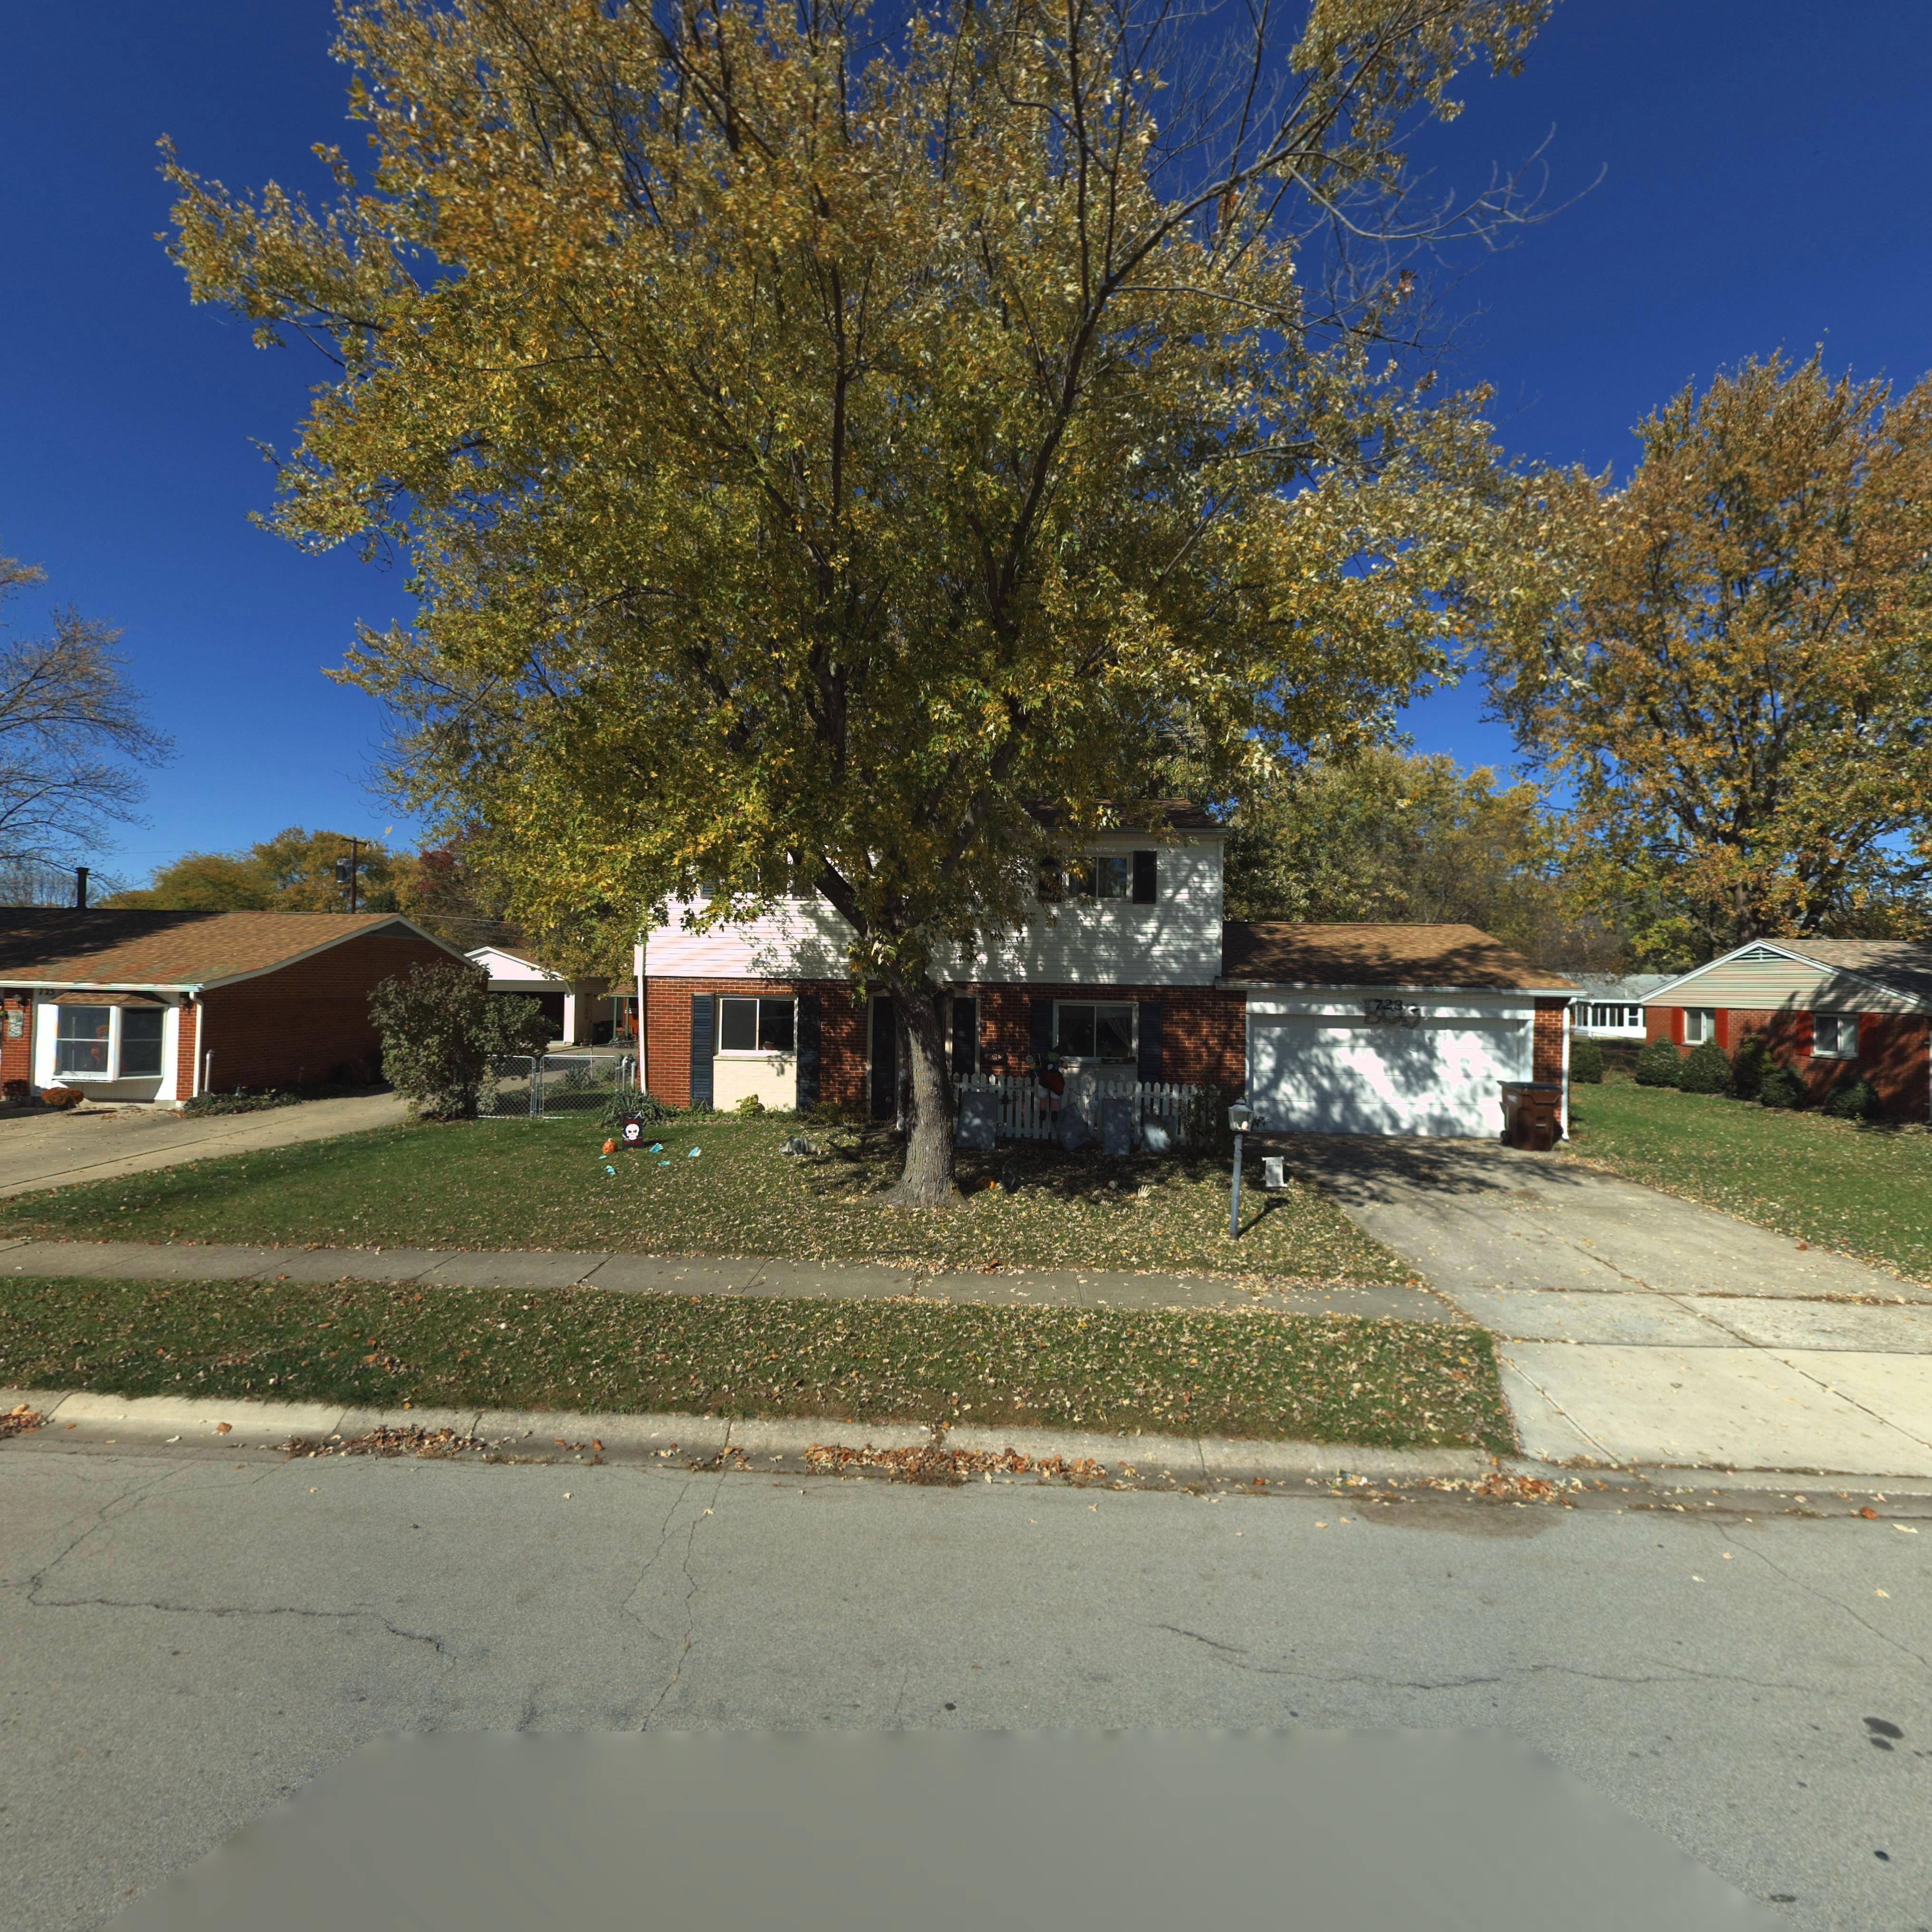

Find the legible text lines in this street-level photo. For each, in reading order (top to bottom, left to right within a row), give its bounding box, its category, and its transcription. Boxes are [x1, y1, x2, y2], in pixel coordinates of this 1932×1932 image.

[38, 988, 56, 996] StreetNumber: 723
[1374, 998, 1404, 1011] StreetNumber: 723